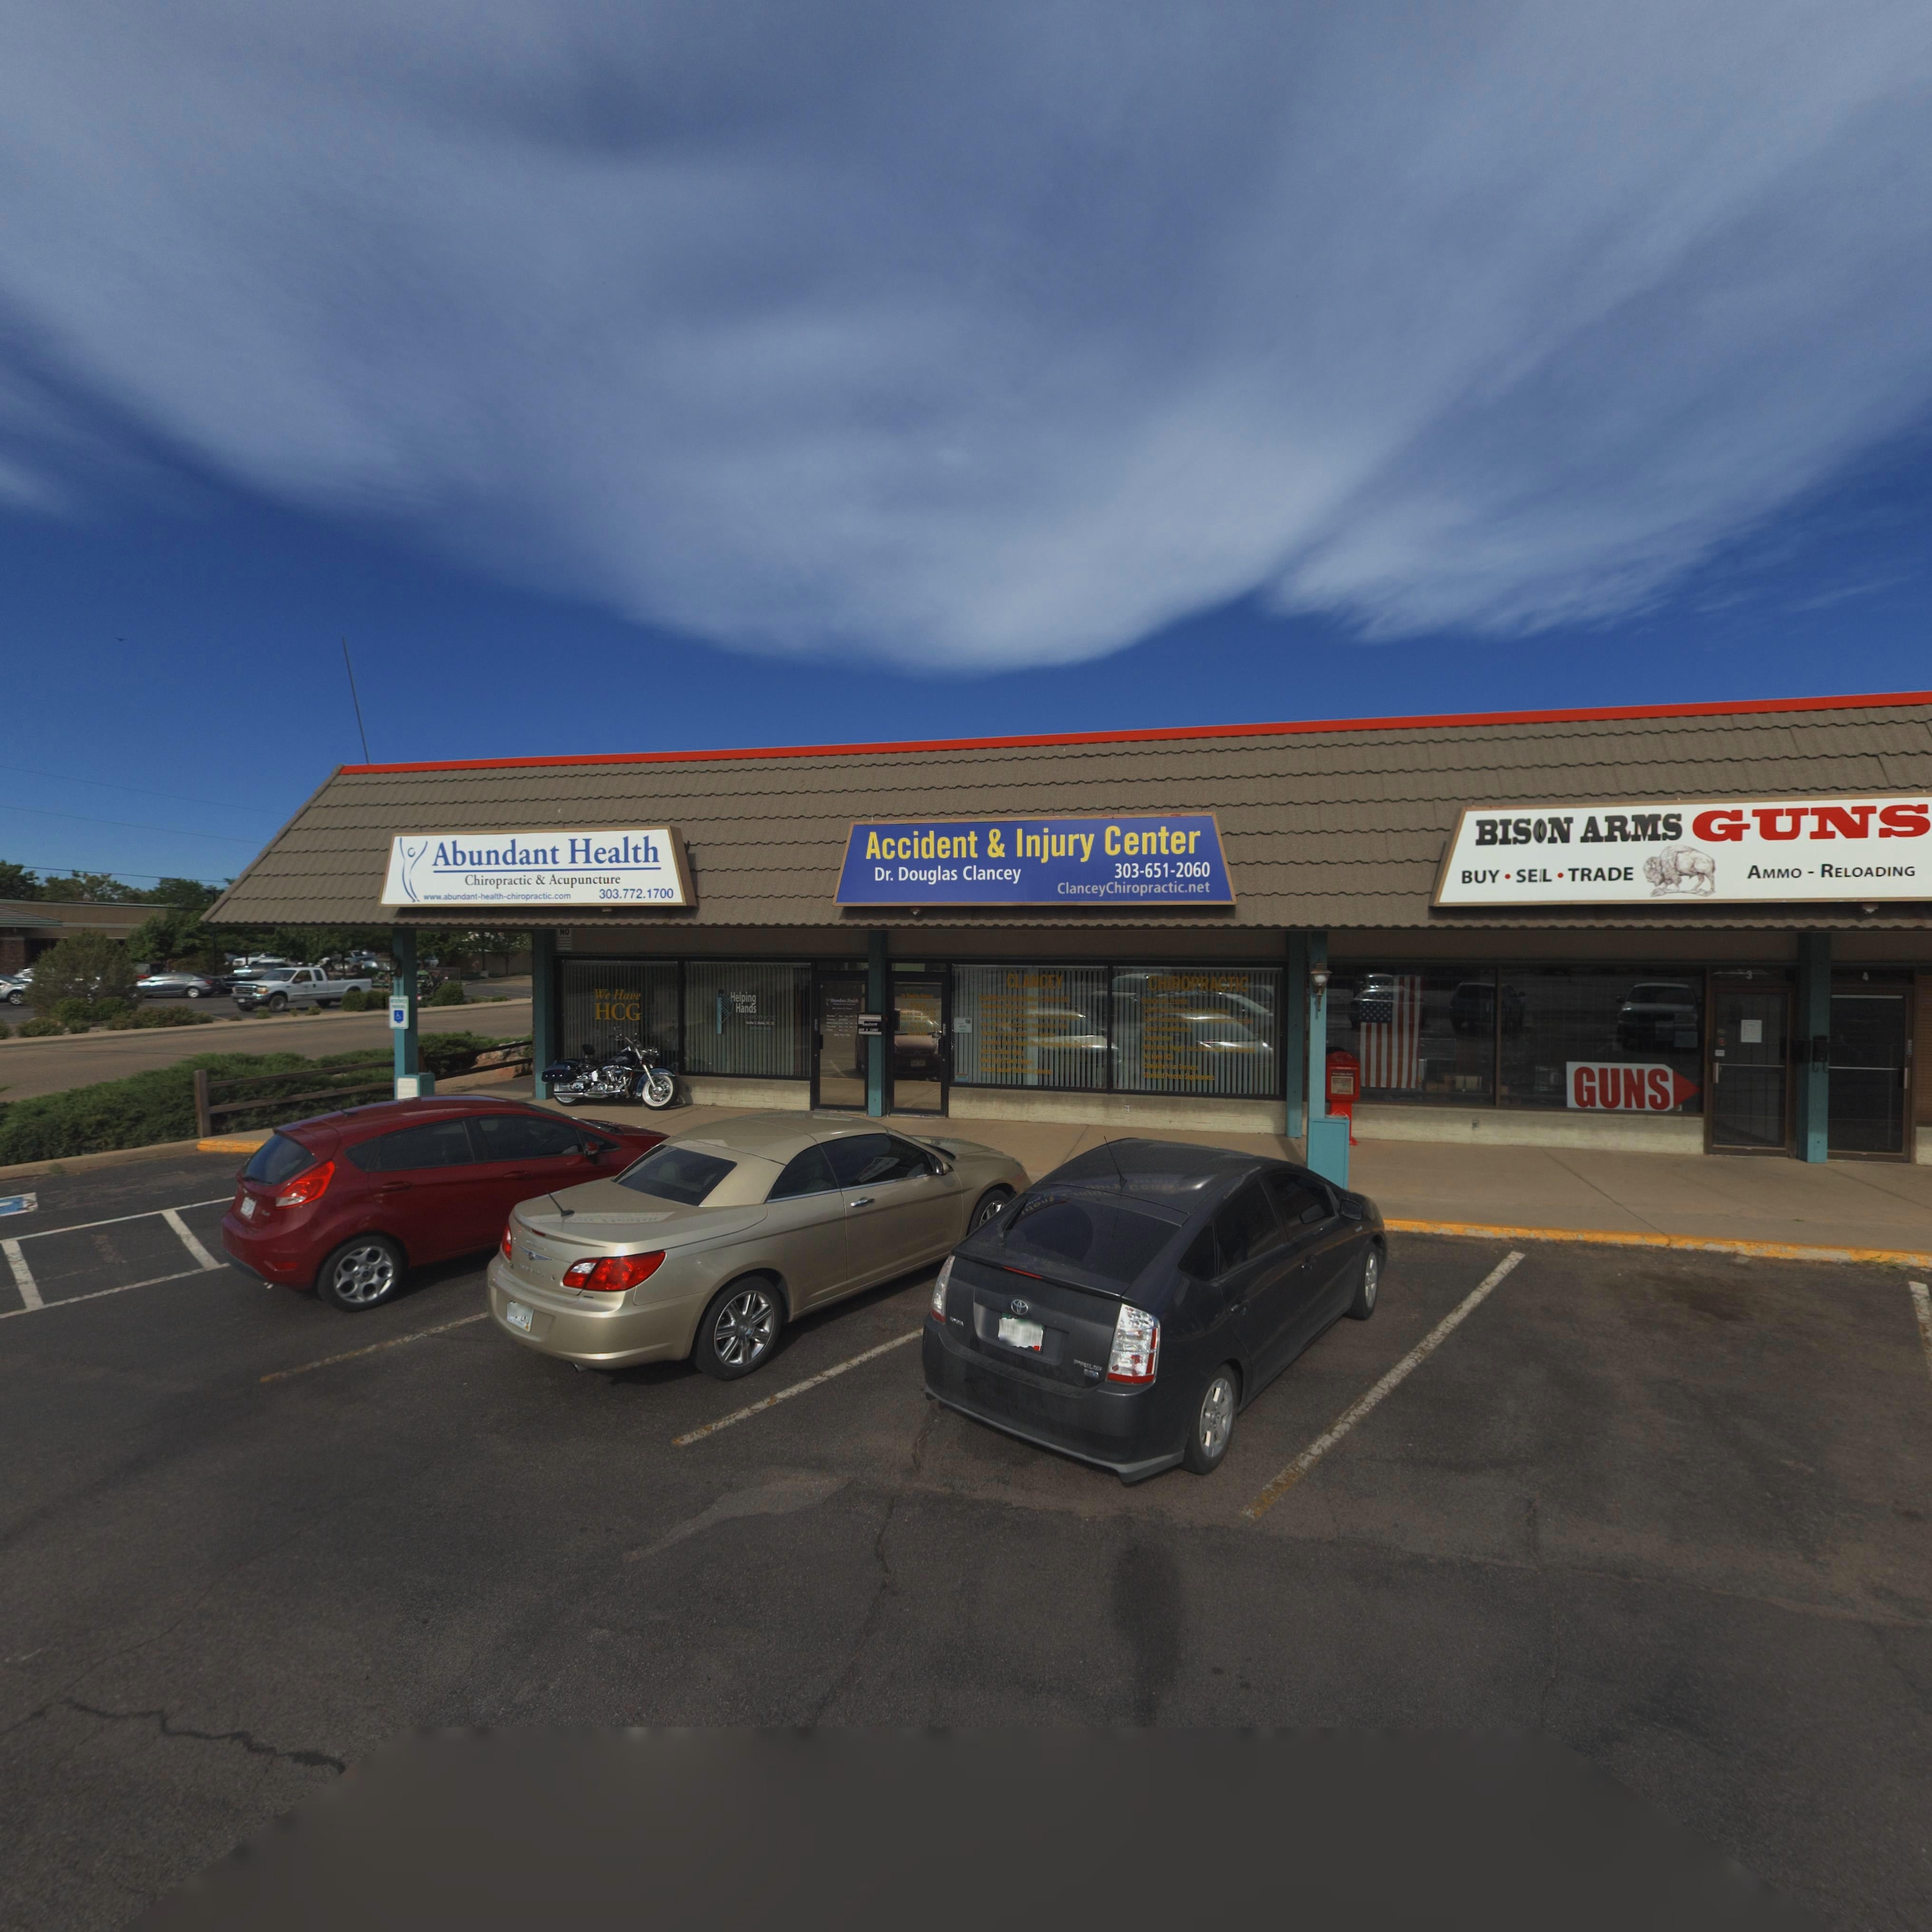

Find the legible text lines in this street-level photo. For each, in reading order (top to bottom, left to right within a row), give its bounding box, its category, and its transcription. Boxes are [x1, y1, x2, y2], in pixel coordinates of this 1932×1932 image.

[1473, 802, 1930, 846] BusinessName: BIS*N ARMS GUNS
[431, 834, 660, 867] BusinessName: Abundant Health
[865, 824, 1204, 865] BusinessName: Accident & Injury Center
[1745, 969, 1753, 979] StreetNumber: 3
[1861, 971, 1869, 982] StreetNumber: 4